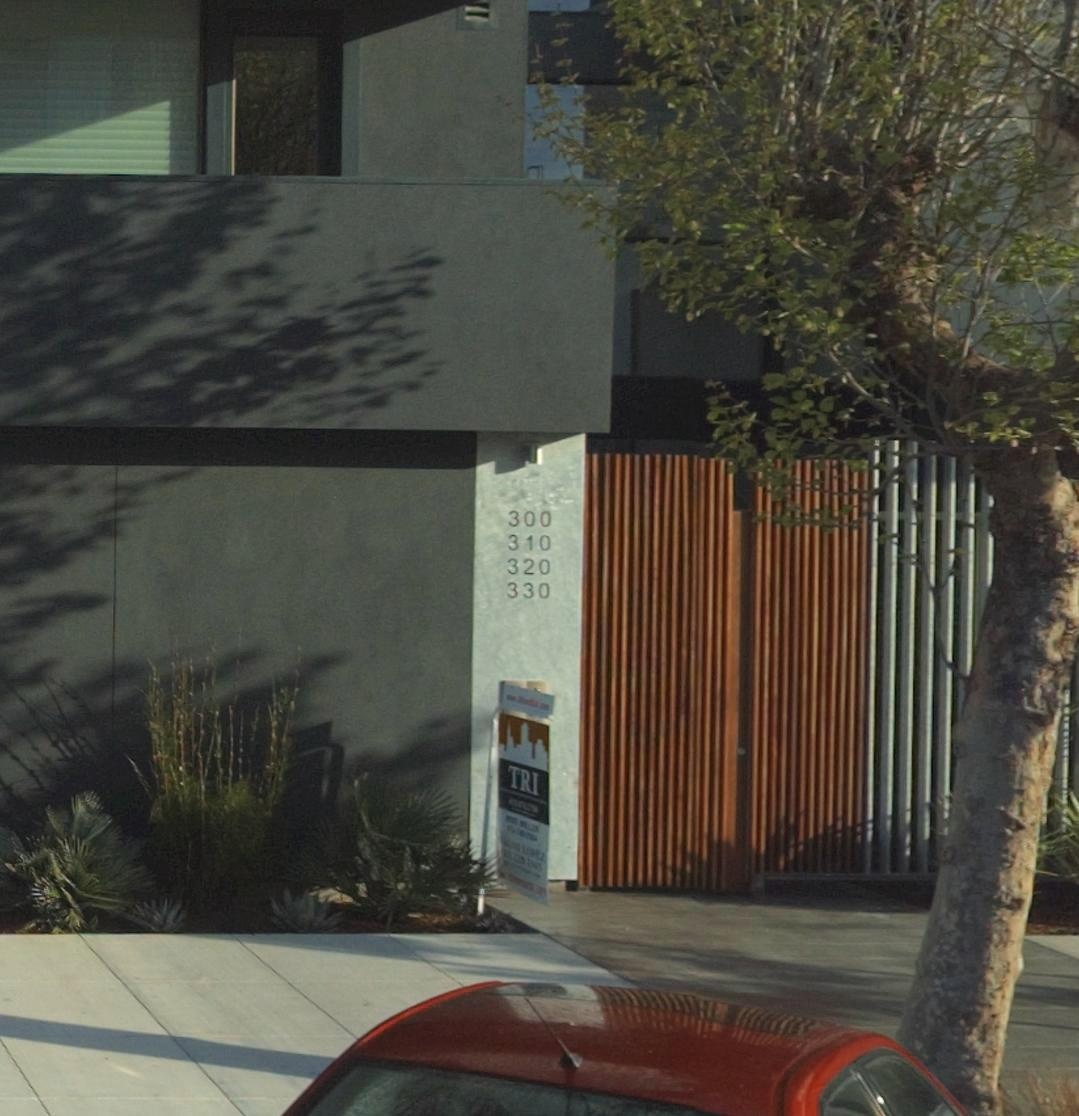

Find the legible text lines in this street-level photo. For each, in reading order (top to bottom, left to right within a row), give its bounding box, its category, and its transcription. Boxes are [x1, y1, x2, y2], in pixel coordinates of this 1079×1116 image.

[504, 508, 554, 530] StreetNumber: 300
[503, 530, 555, 555] StreetNumber: 310
[503, 555, 553, 578] StreetNumber: 320
[504, 578, 552, 601] StreetNumber: 330
[505, 760, 541, 801] None: TRI